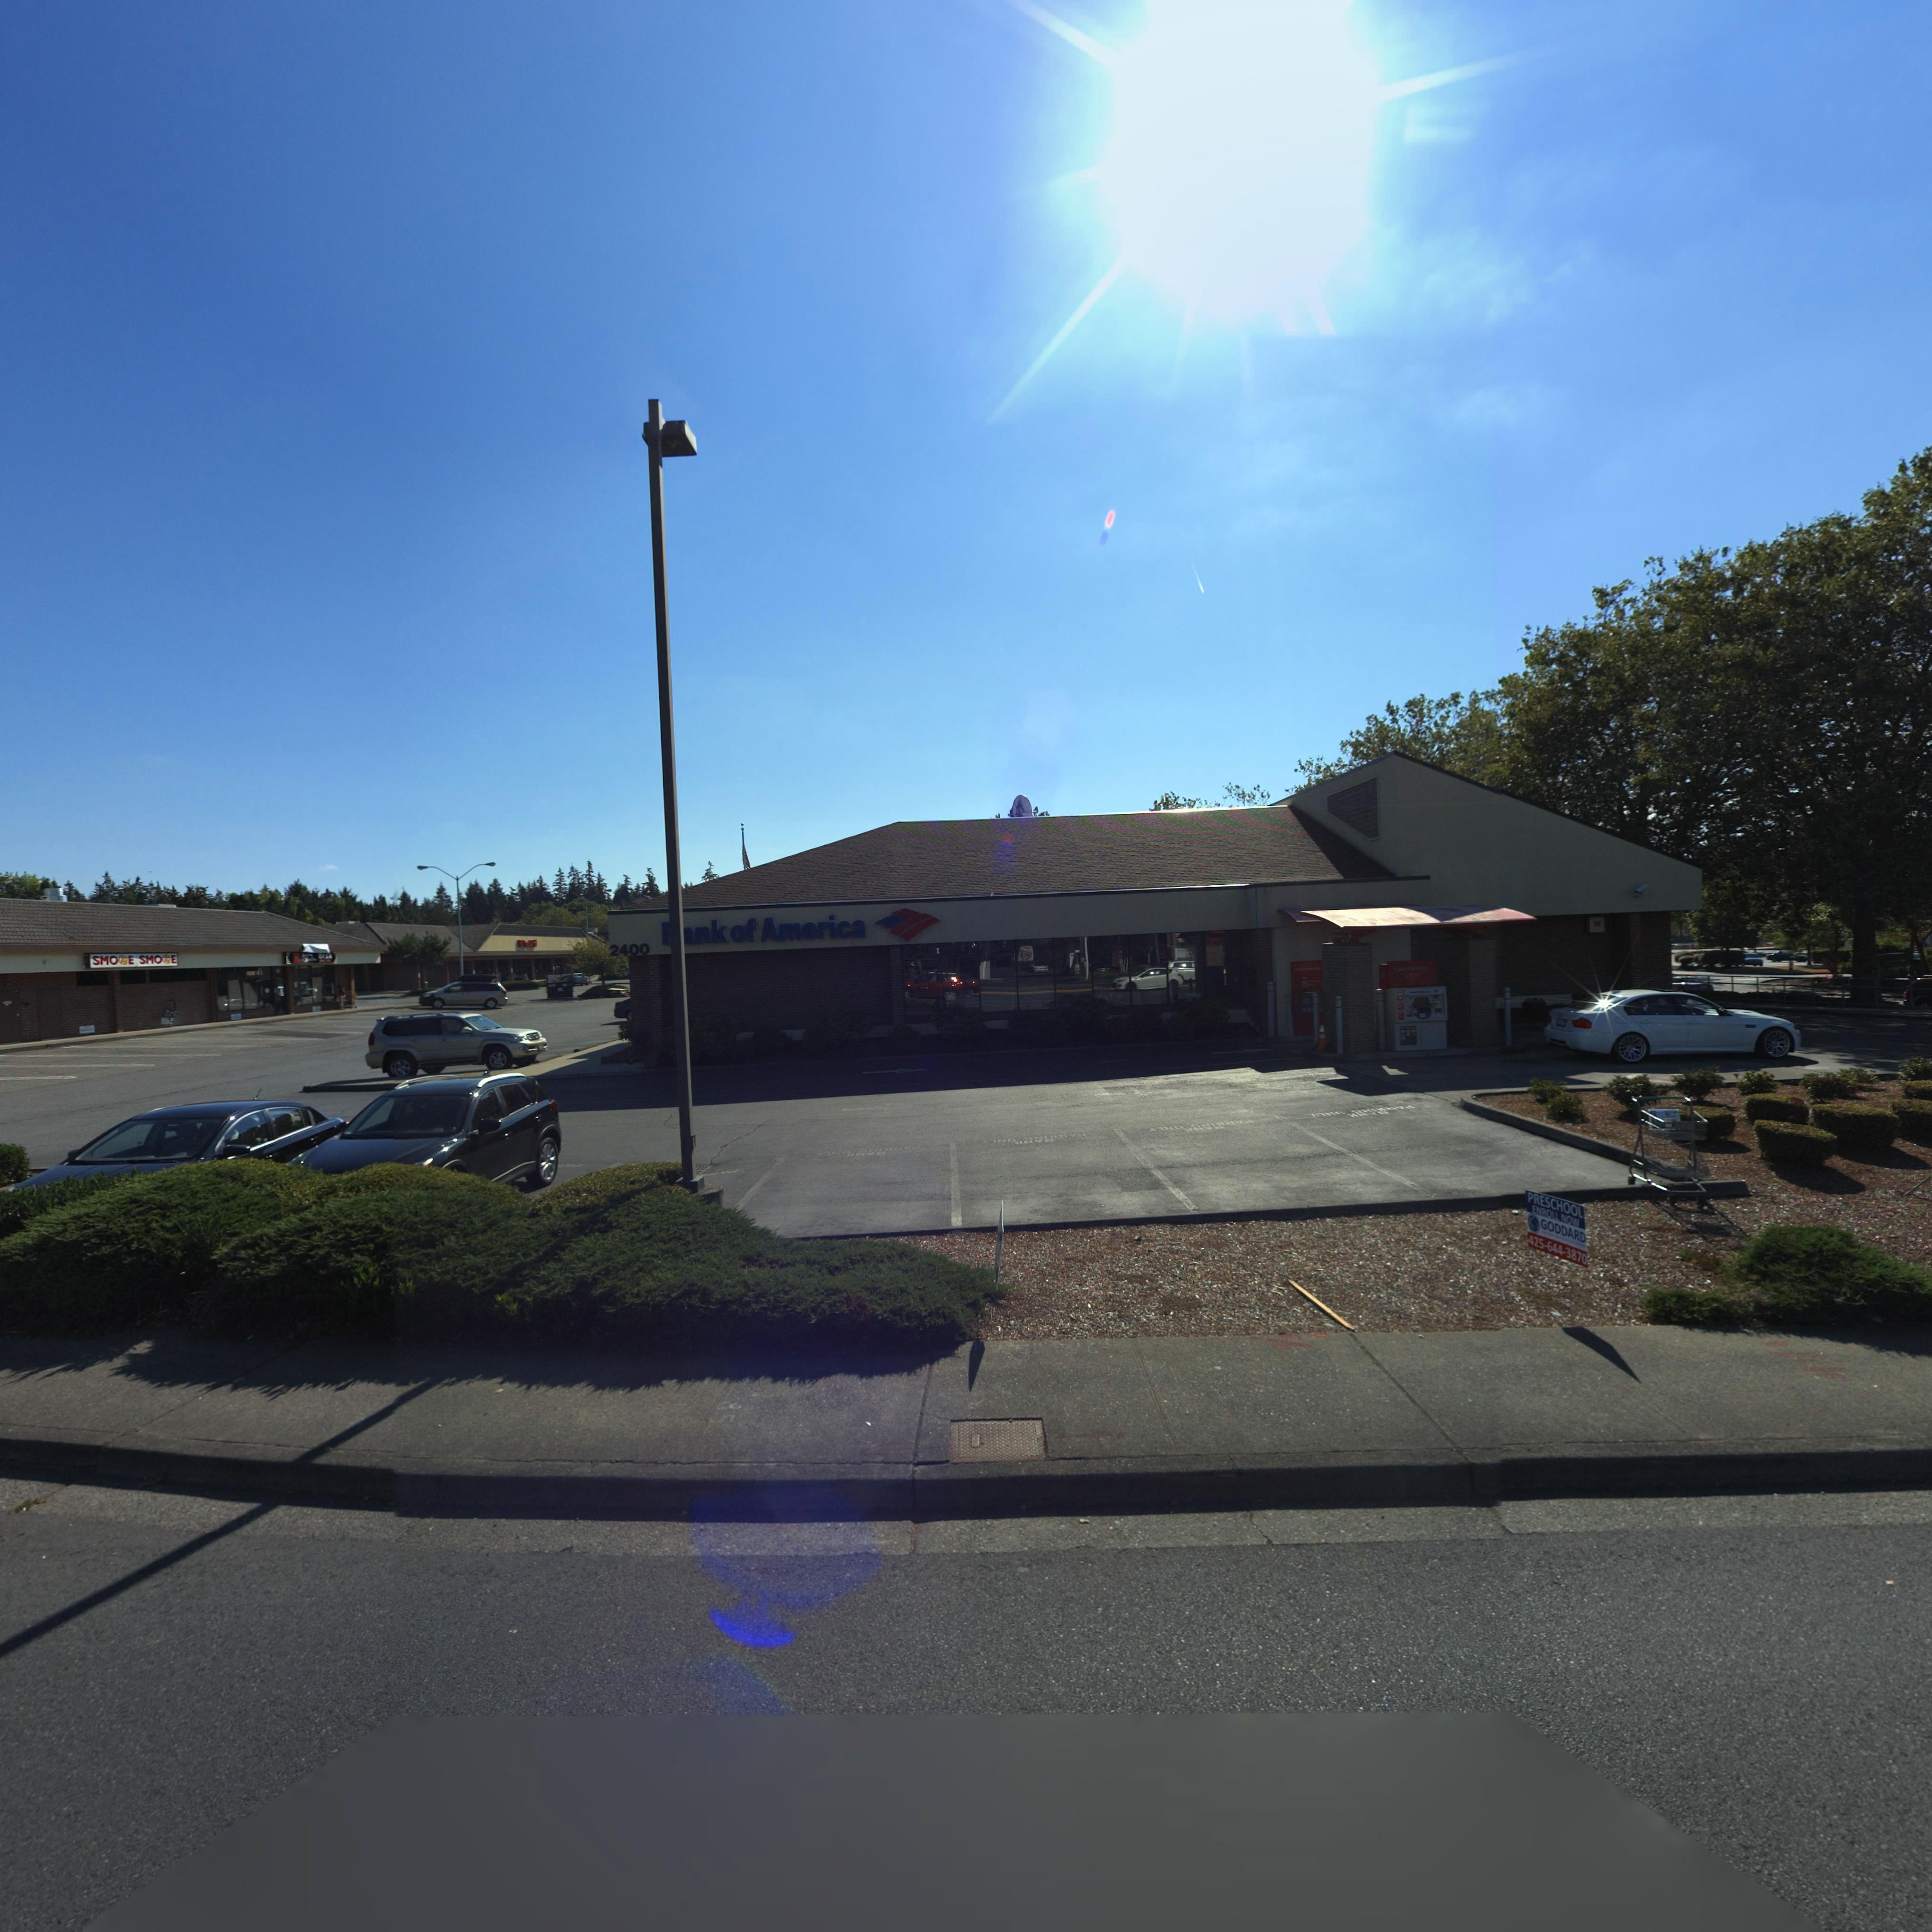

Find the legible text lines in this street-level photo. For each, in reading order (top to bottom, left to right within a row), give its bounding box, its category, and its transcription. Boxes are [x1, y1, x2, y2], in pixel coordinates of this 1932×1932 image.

[661, 914, 867, 947] BusinessName: **nk of America
[608, 941, 651, 957] StreetNumber: 2400
[91, 954, 177, 966] BusinessName: SMO*E SMO*E